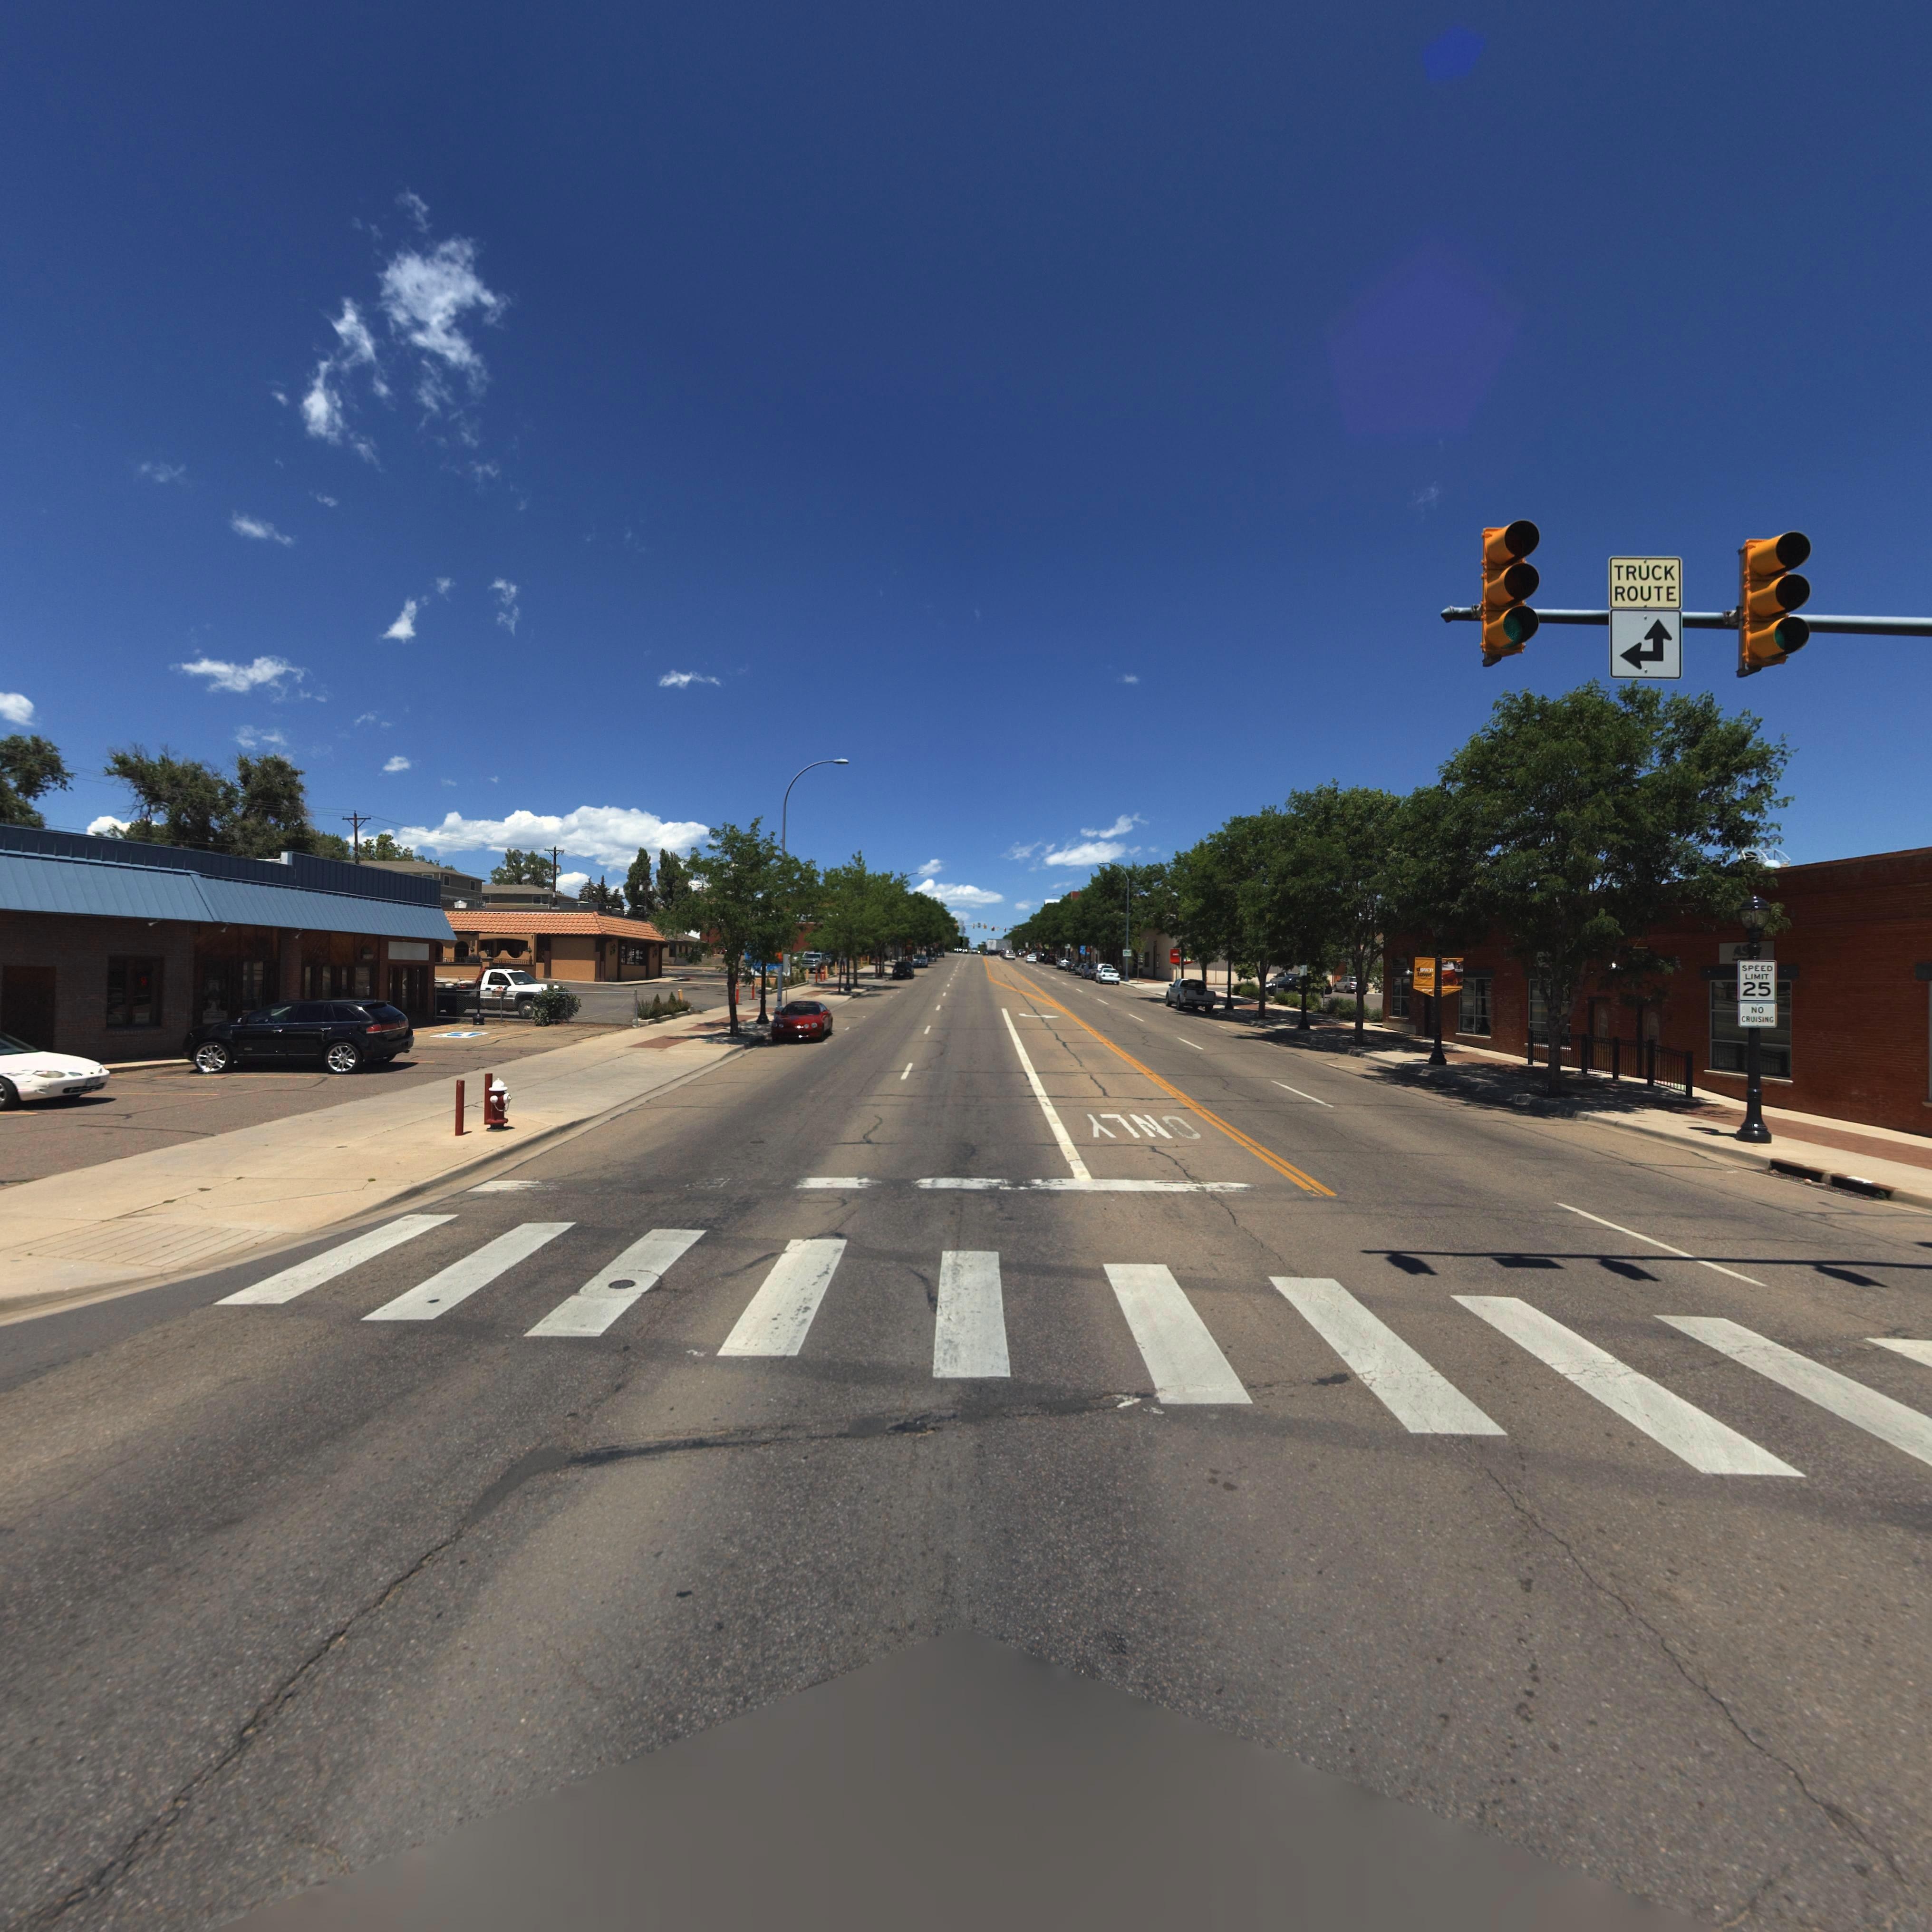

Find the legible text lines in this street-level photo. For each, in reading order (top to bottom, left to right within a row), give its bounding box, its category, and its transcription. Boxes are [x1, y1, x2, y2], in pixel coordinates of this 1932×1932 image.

[1614, 565, 1674, 580] BusinessName: TRUCK
[1614, 586, 1676, 601] BusinessName: ROUTE
[313, 948, 323, 956] StreetNumber: 20*
[1076, 1108, 1210, 1143] None: ONLY